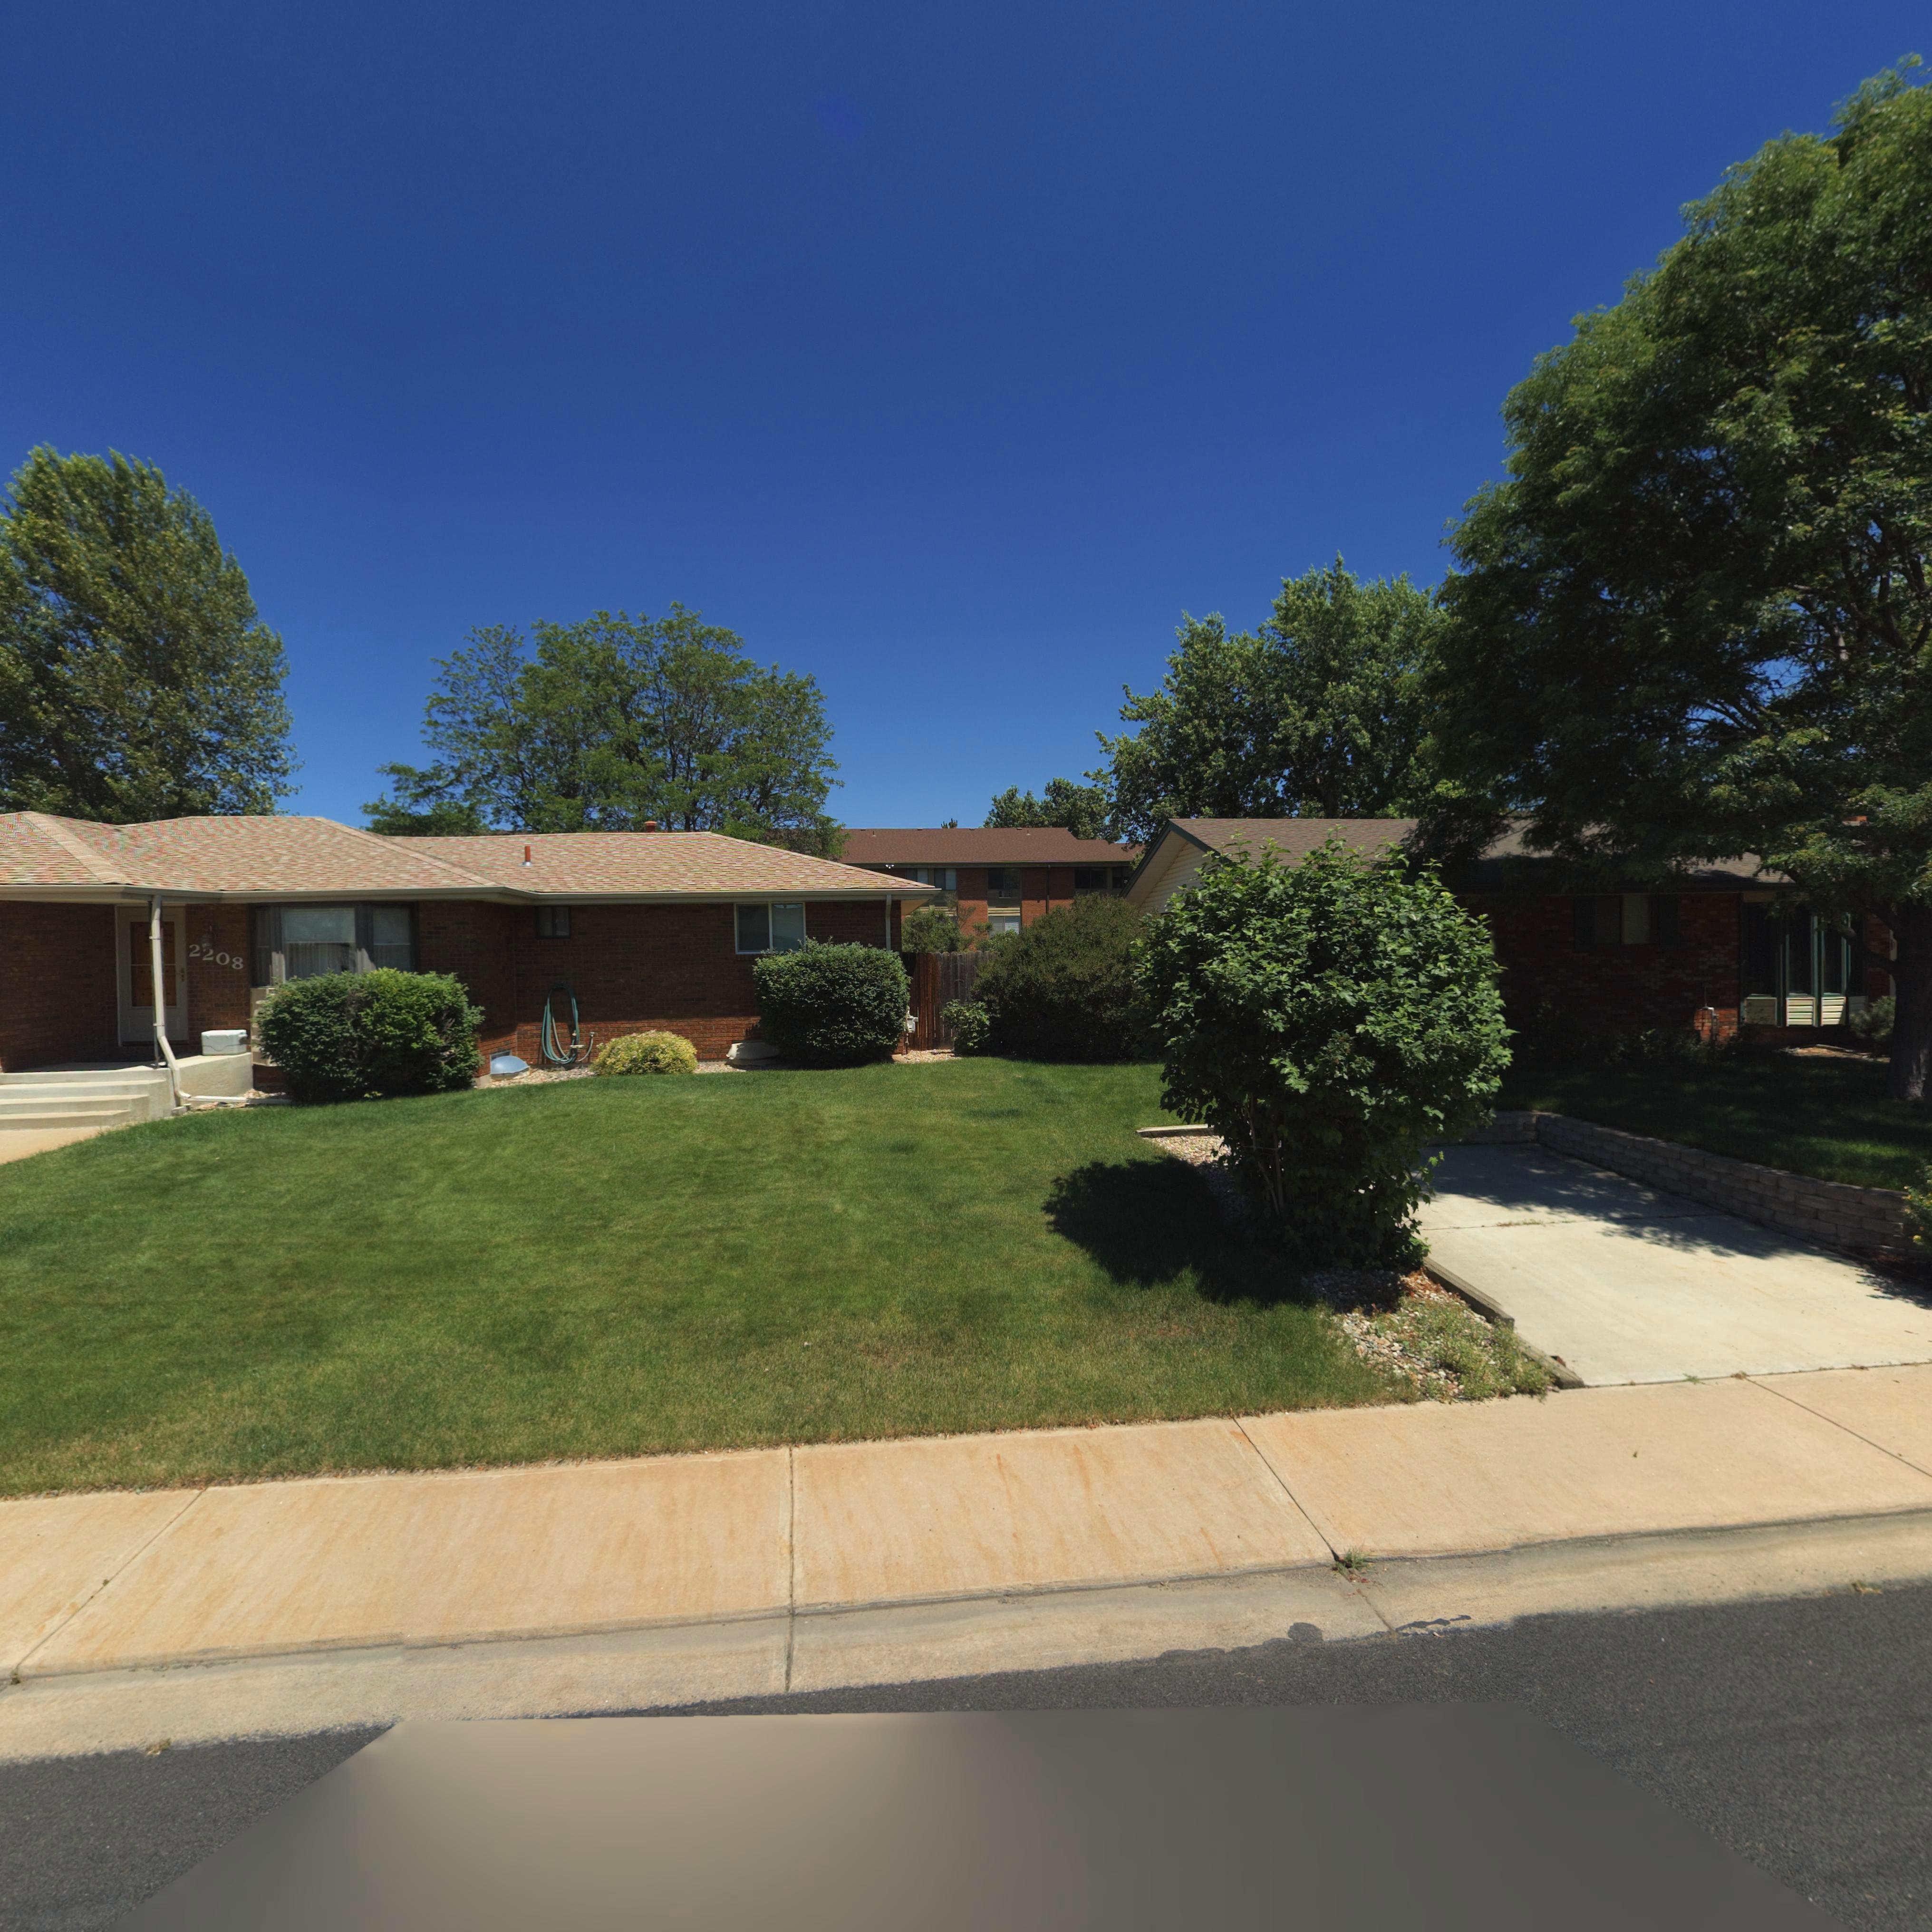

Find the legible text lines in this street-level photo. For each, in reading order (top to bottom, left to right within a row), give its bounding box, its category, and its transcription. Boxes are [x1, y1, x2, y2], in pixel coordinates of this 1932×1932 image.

[185, 941, 245, 971] StreetNumber: 2208